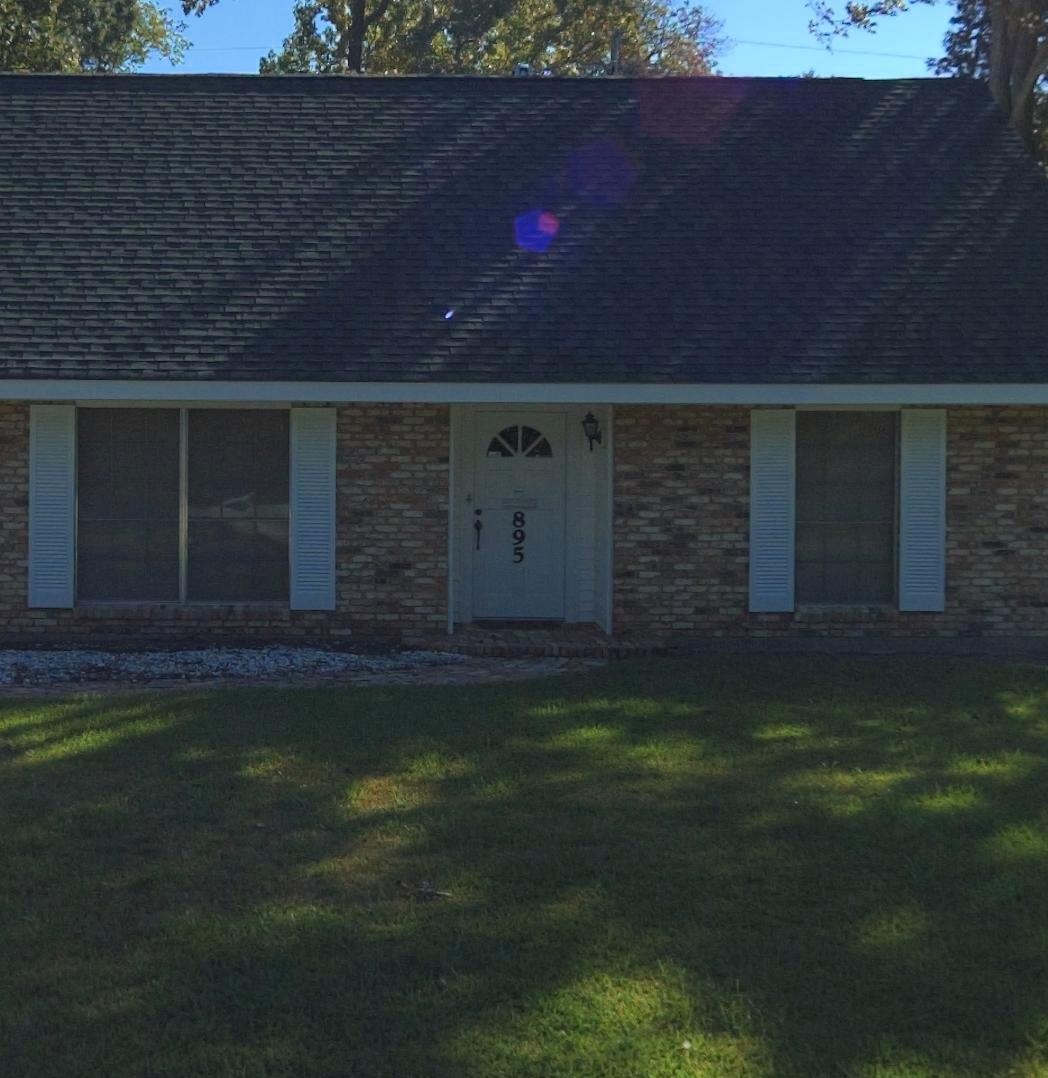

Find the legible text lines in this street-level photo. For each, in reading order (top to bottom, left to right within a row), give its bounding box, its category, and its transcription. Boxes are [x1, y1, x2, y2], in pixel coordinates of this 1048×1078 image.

[509, 506, 528, 567] StreetNumber: 895